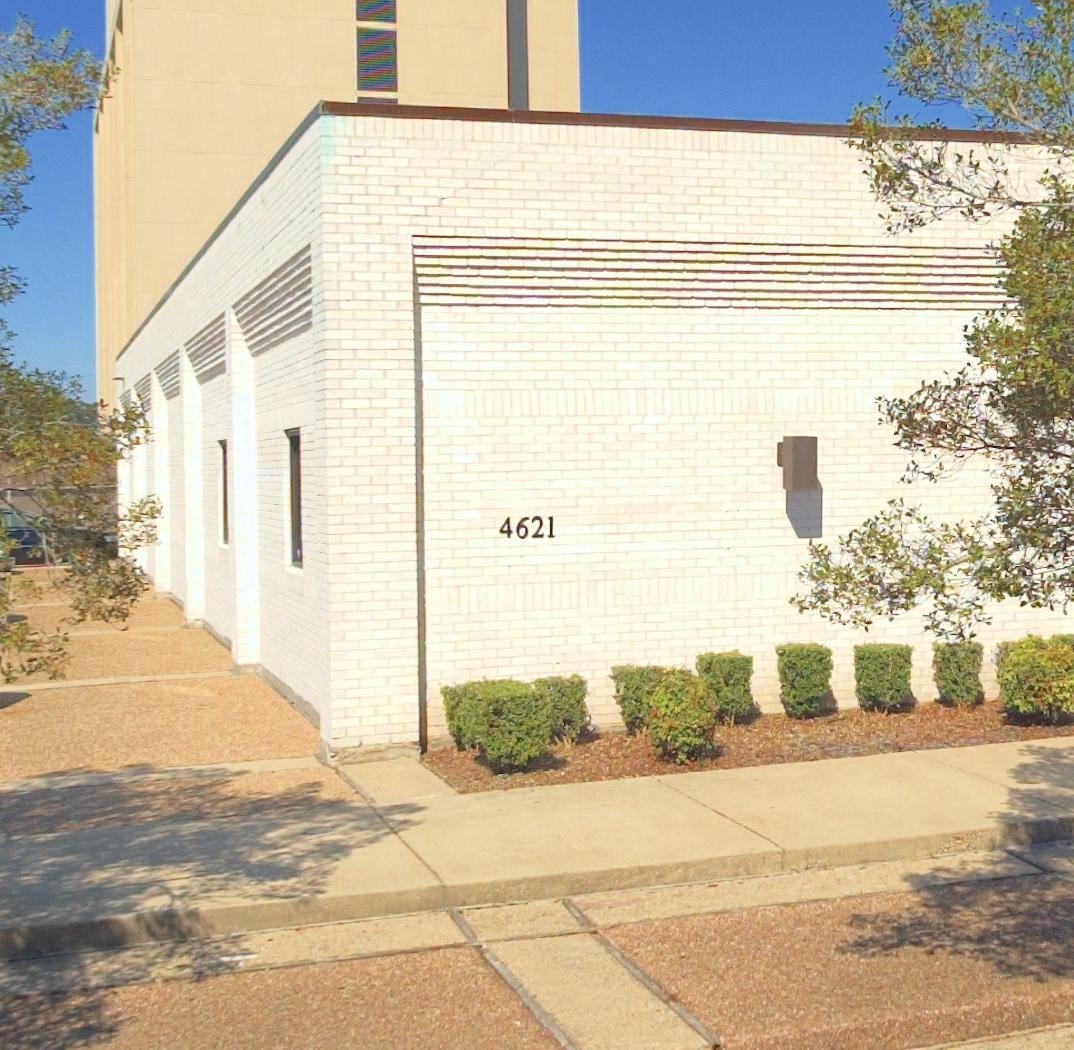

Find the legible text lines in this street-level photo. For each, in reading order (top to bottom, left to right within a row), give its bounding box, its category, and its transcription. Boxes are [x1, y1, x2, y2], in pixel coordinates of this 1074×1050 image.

[497, 513, 557, 541] StreetNumber: 4621